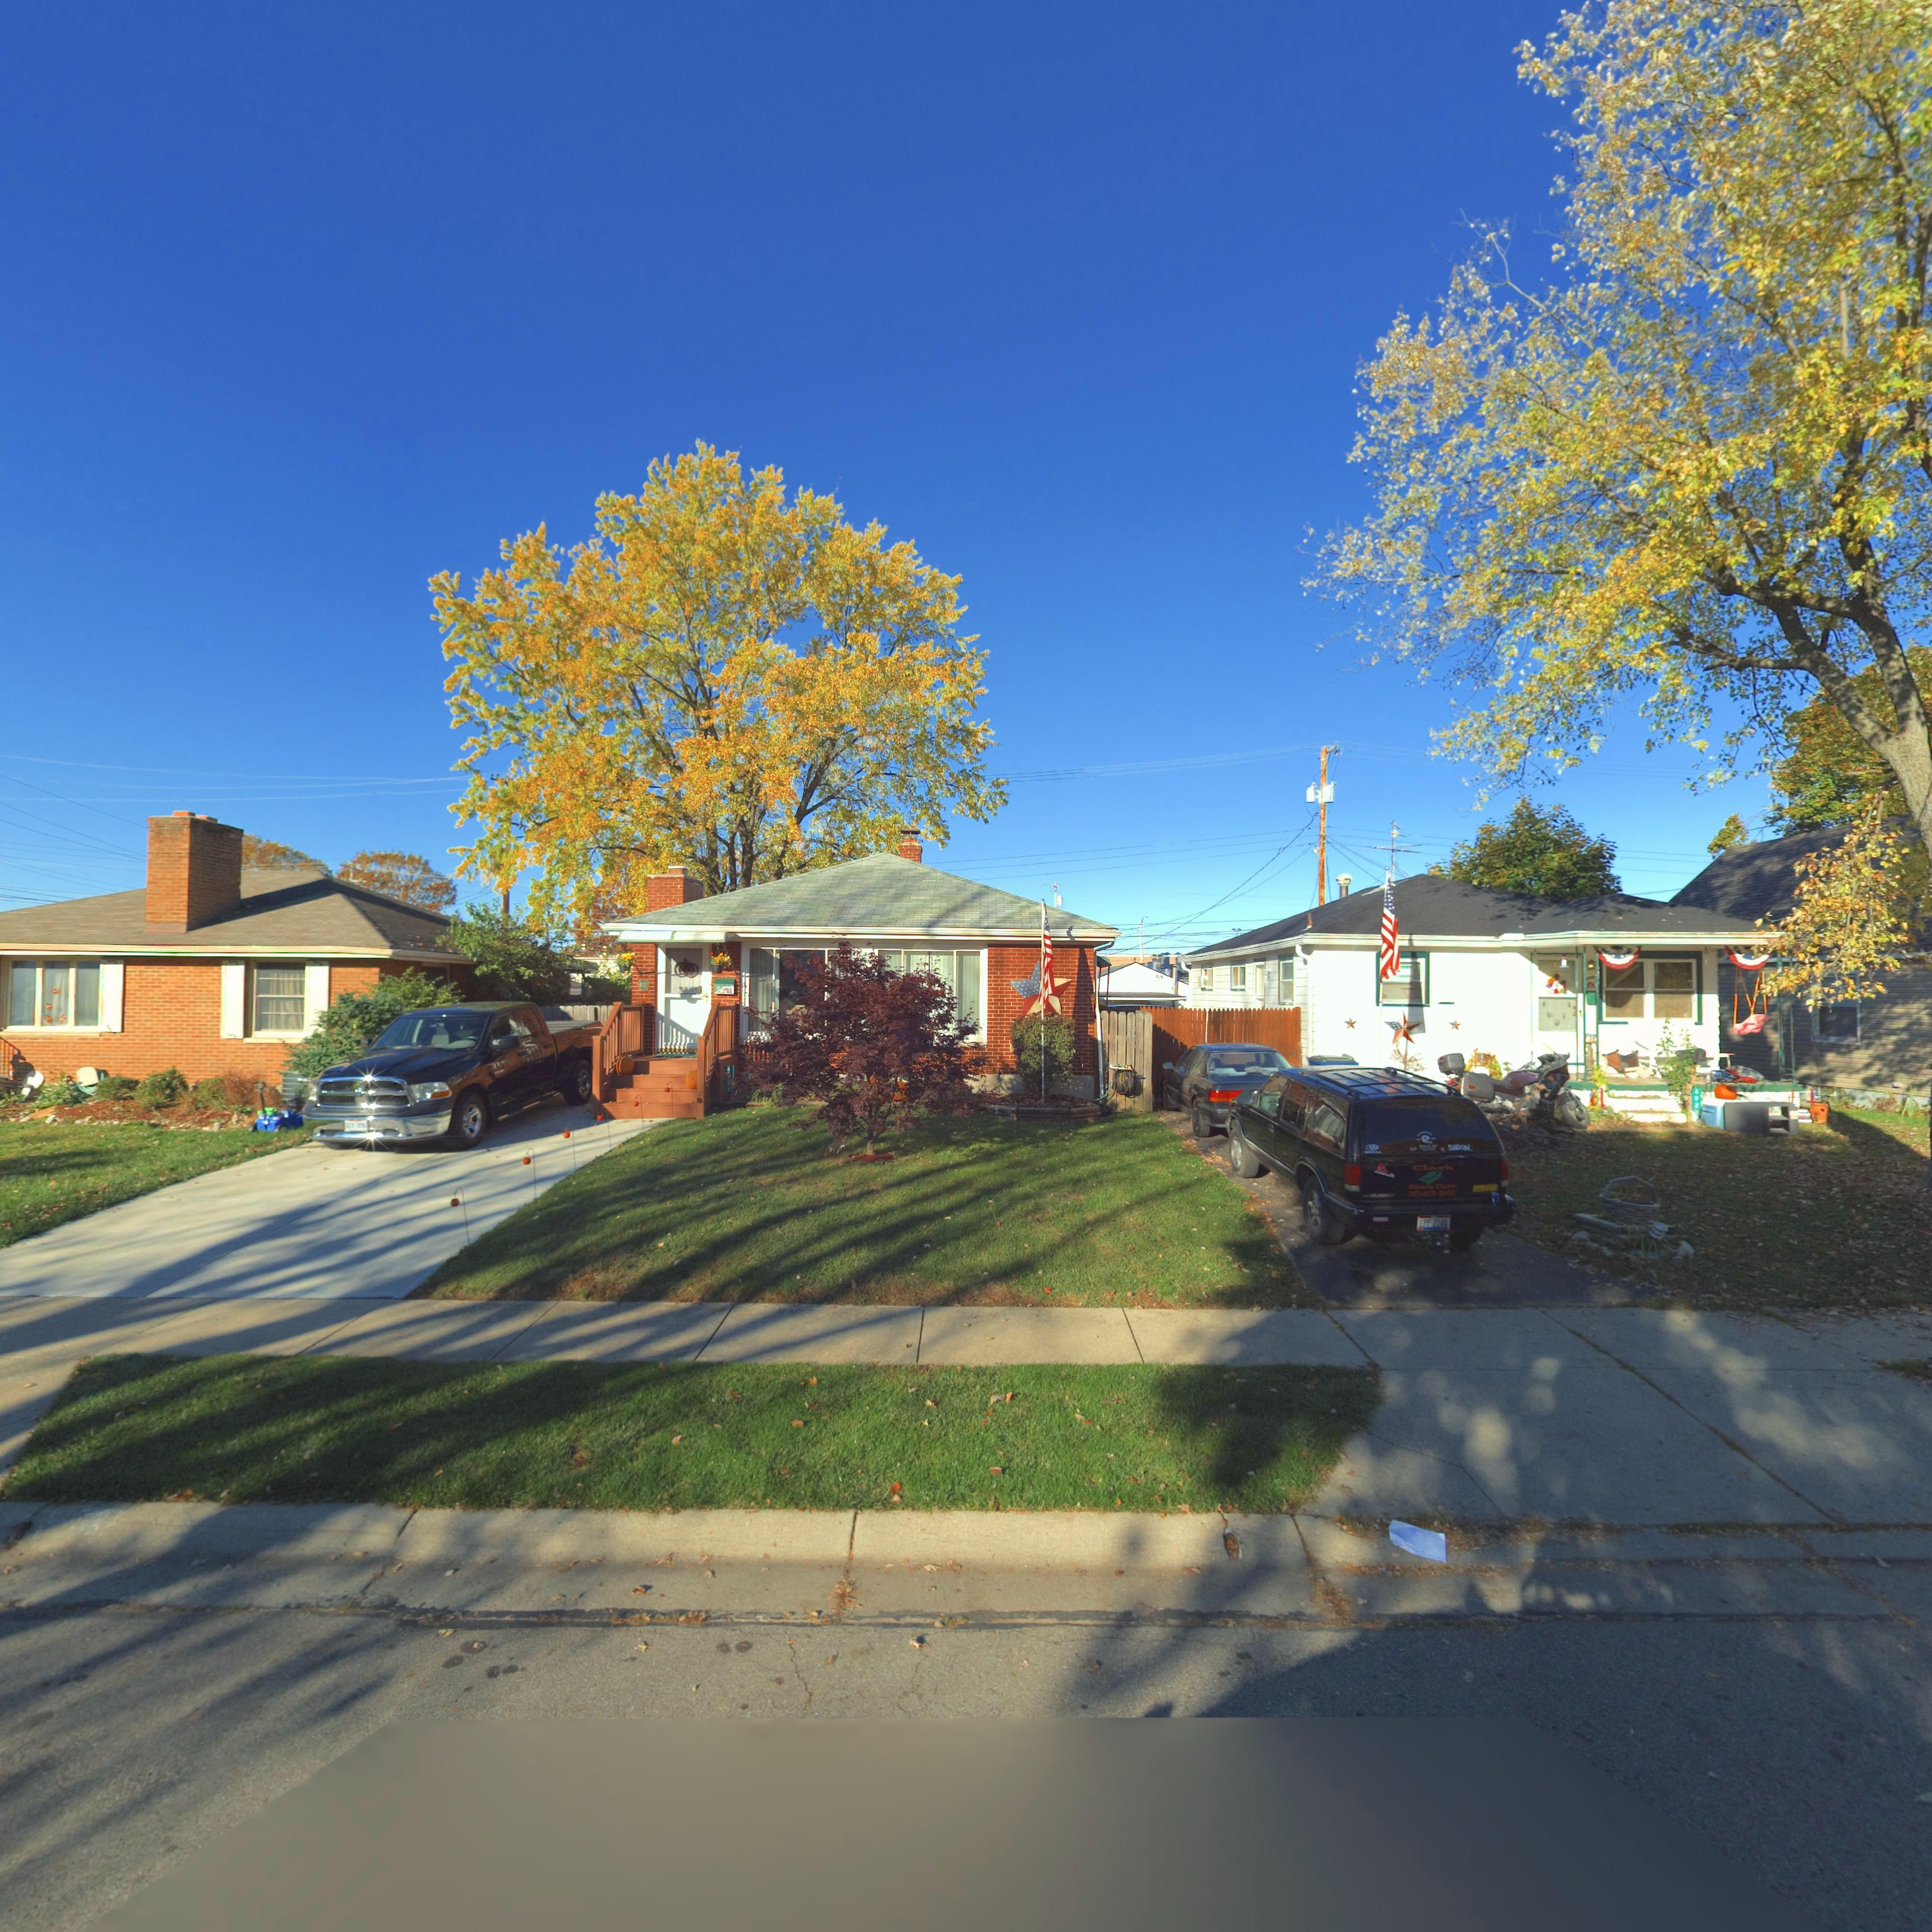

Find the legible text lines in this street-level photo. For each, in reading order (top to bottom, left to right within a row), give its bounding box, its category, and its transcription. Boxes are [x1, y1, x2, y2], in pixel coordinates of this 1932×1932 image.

[1693, 1088, 1700, 1109] StreetNumber: 492